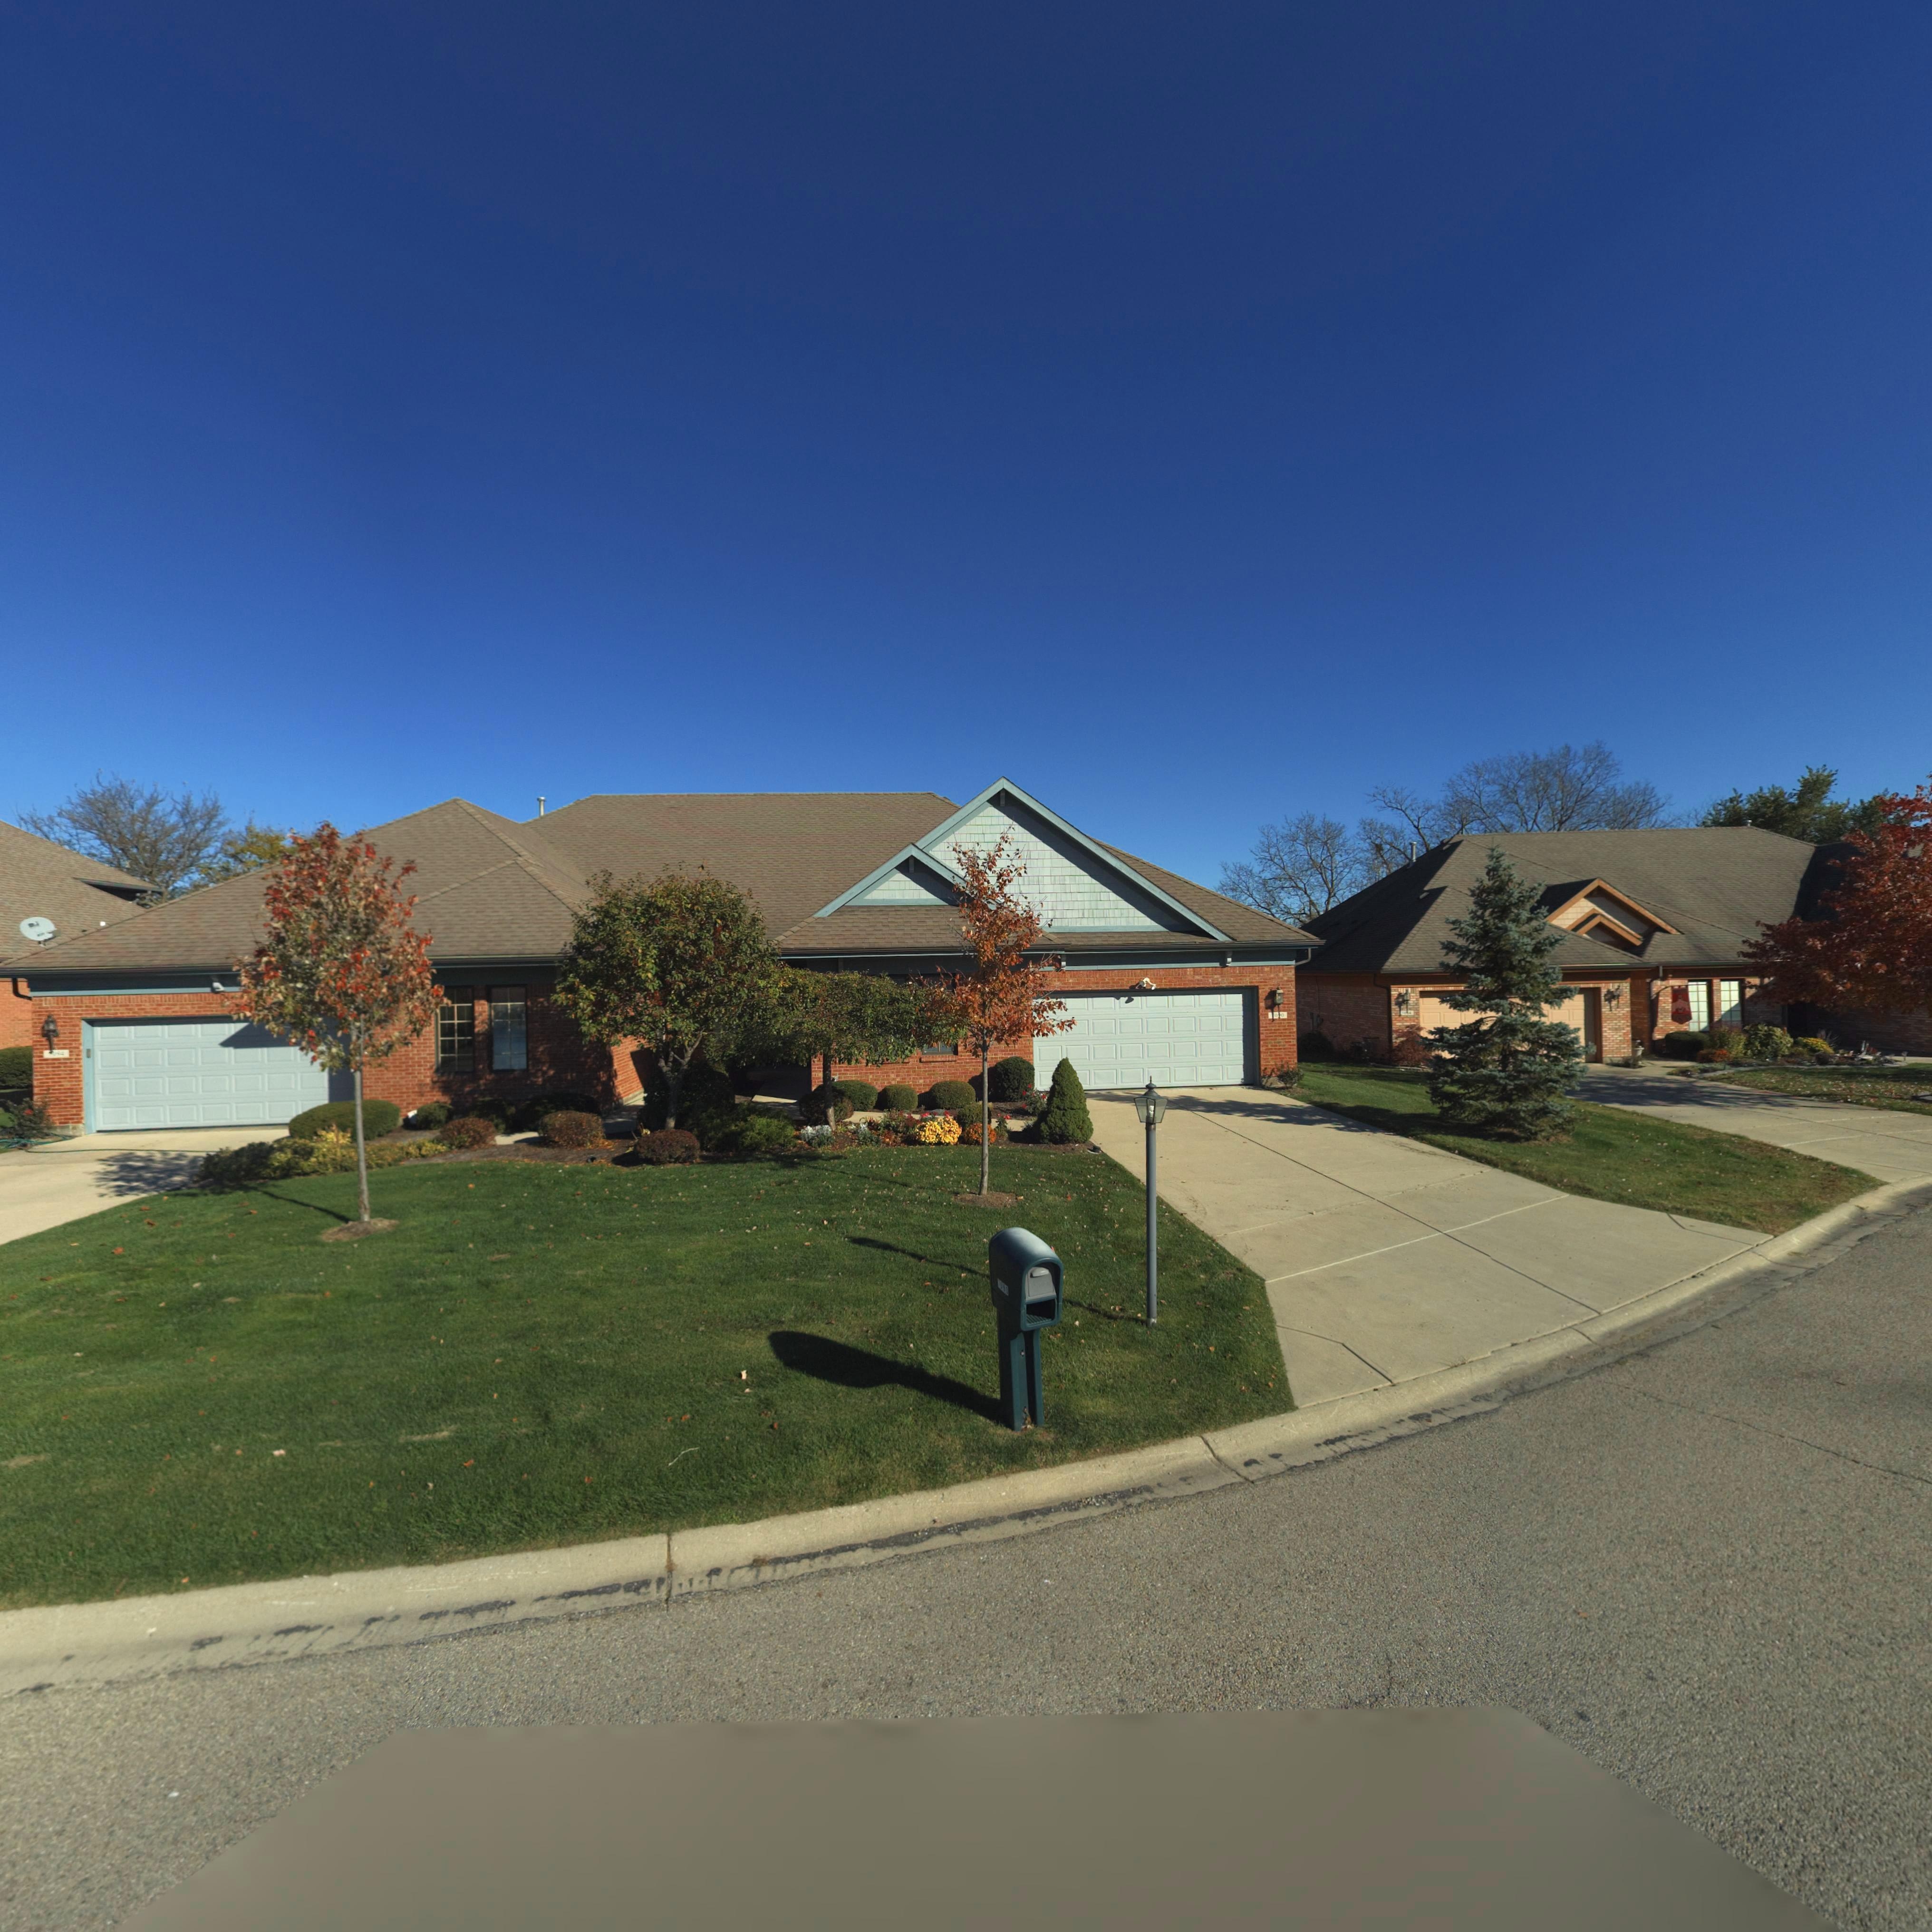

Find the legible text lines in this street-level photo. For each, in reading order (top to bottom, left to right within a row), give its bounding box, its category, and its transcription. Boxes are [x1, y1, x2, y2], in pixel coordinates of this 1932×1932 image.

[1271, 1013, 1285, 1018] StreetNumber: *0*0
[1401, 1010, 1411, 1015] StreetNumber: 70*4
[48, 1051, 65, 1057] StreetNumber: *094
[997, 1278, 1008, 1295] StreetNumber: 7090